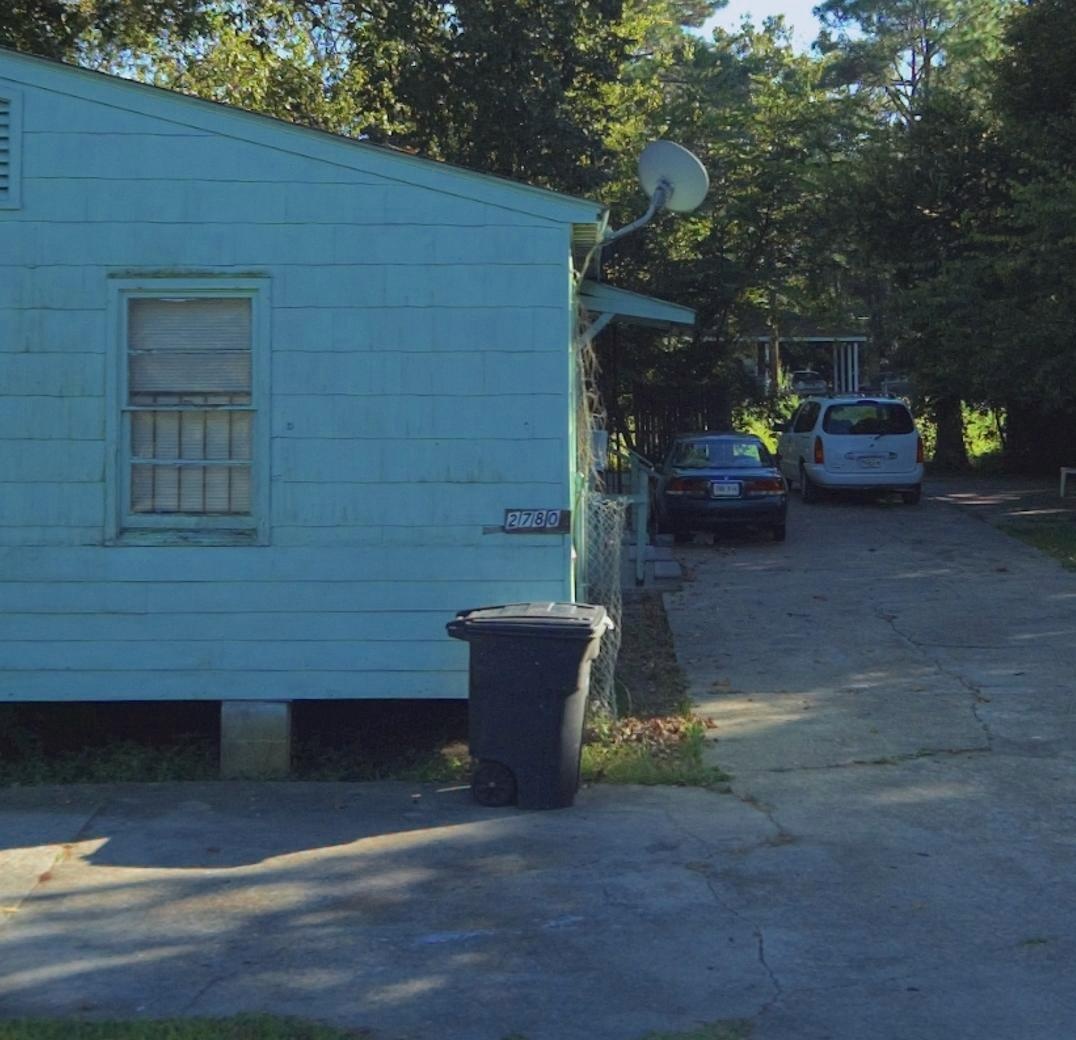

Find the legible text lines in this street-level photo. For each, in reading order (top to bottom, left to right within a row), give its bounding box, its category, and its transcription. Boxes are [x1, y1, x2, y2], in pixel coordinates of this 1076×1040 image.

[508, 511, 559, 528] StreetNumber: 2780